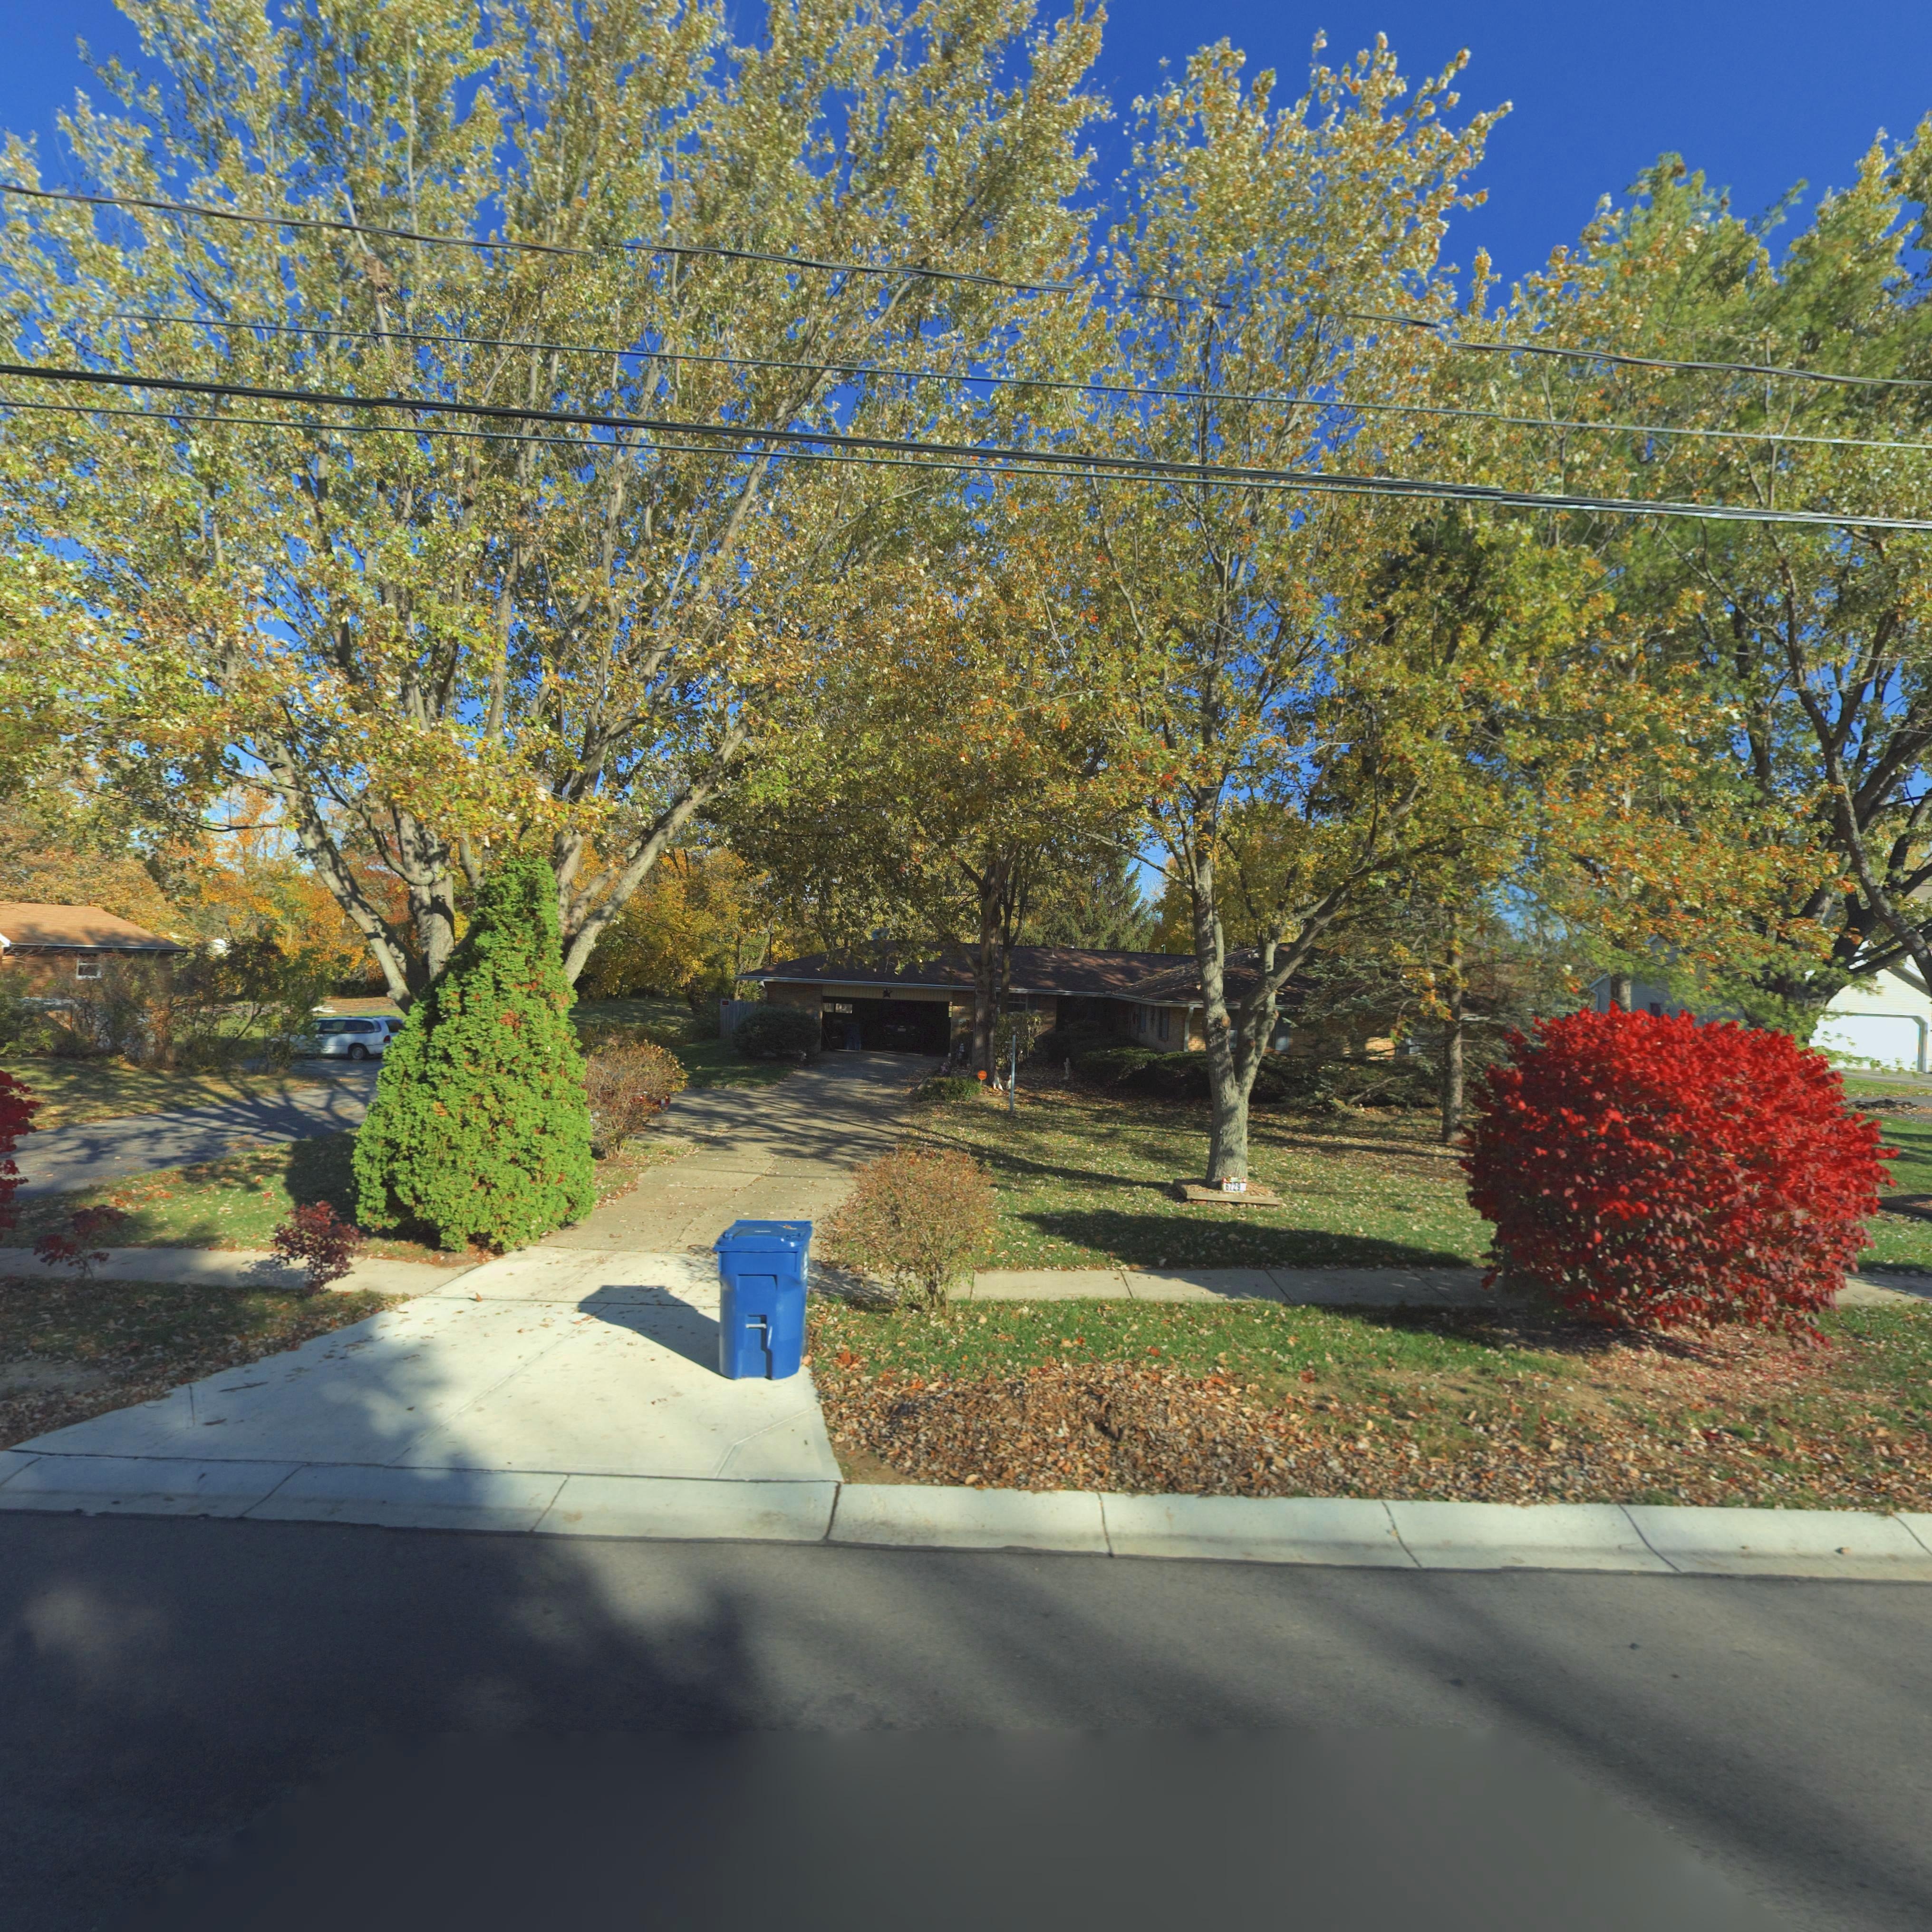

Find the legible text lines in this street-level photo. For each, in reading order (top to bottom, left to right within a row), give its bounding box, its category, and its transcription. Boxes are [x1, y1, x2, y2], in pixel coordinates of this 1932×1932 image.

[1225, 1181, 1241, 1192] StreetNumber: 6729